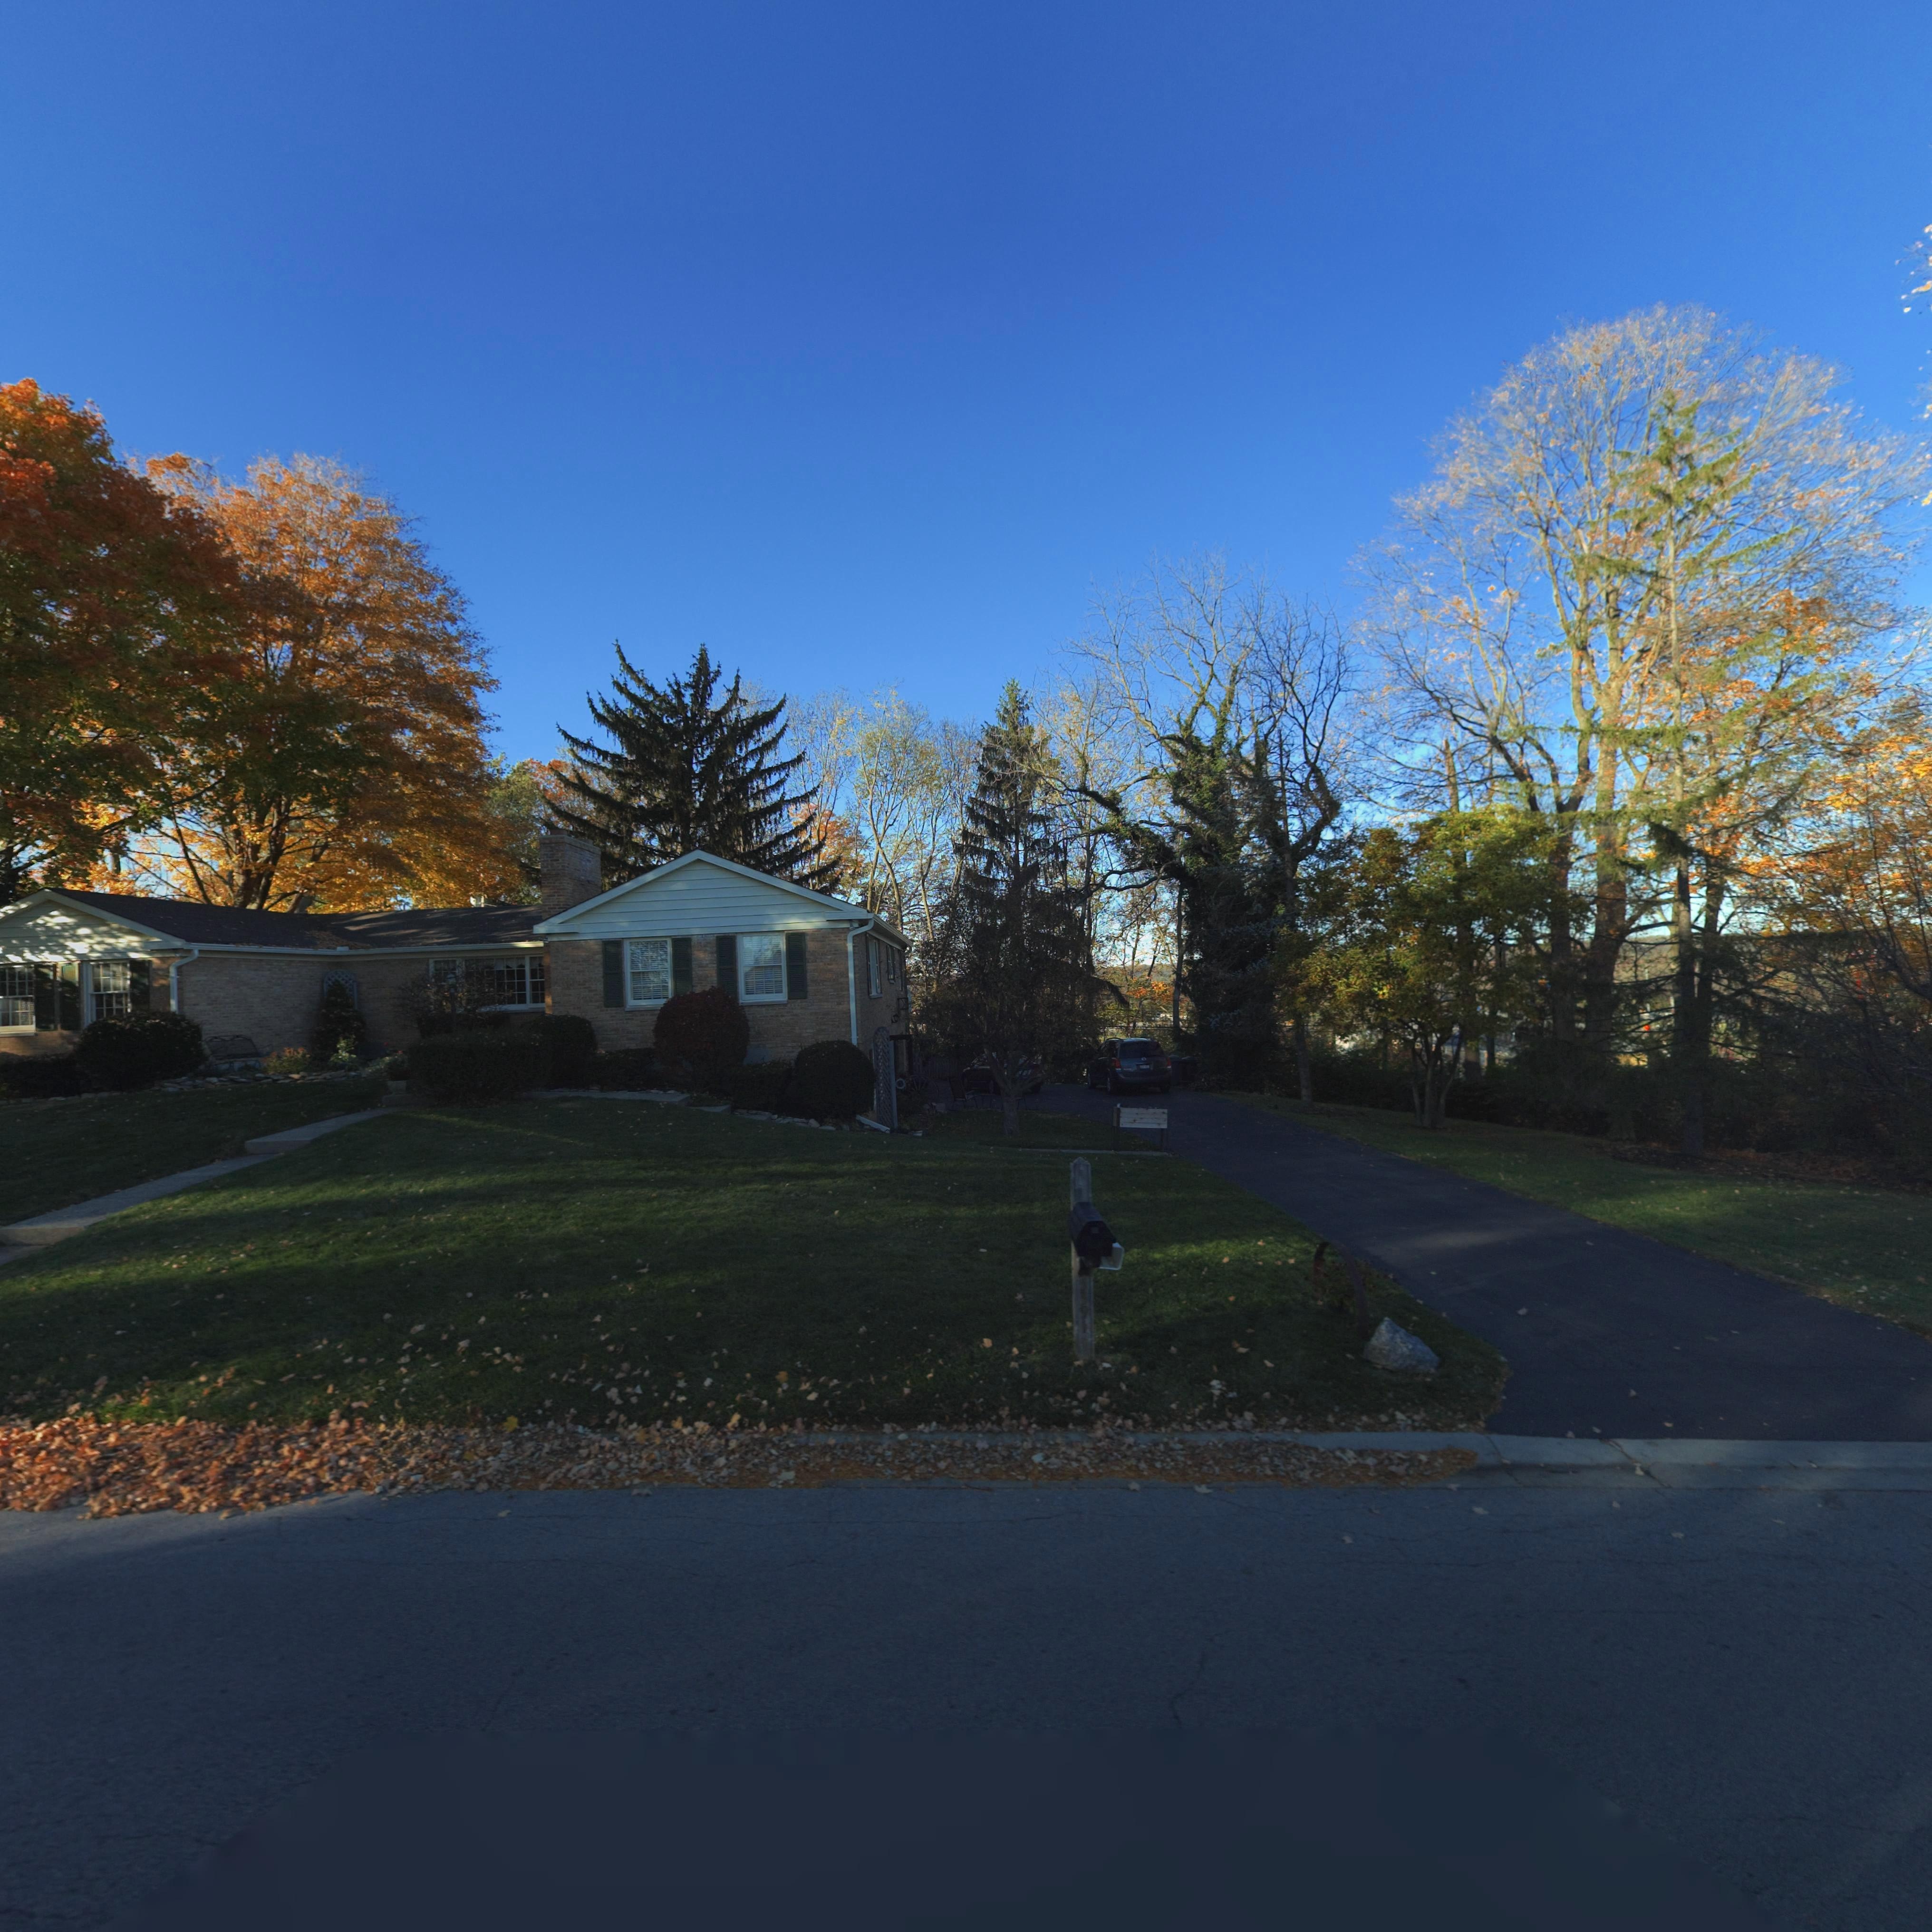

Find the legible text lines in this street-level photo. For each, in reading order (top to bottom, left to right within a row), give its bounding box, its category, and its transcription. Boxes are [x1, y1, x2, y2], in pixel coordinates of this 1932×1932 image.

[1079, 1275, 1090, 1334] StreetNumber: 5391